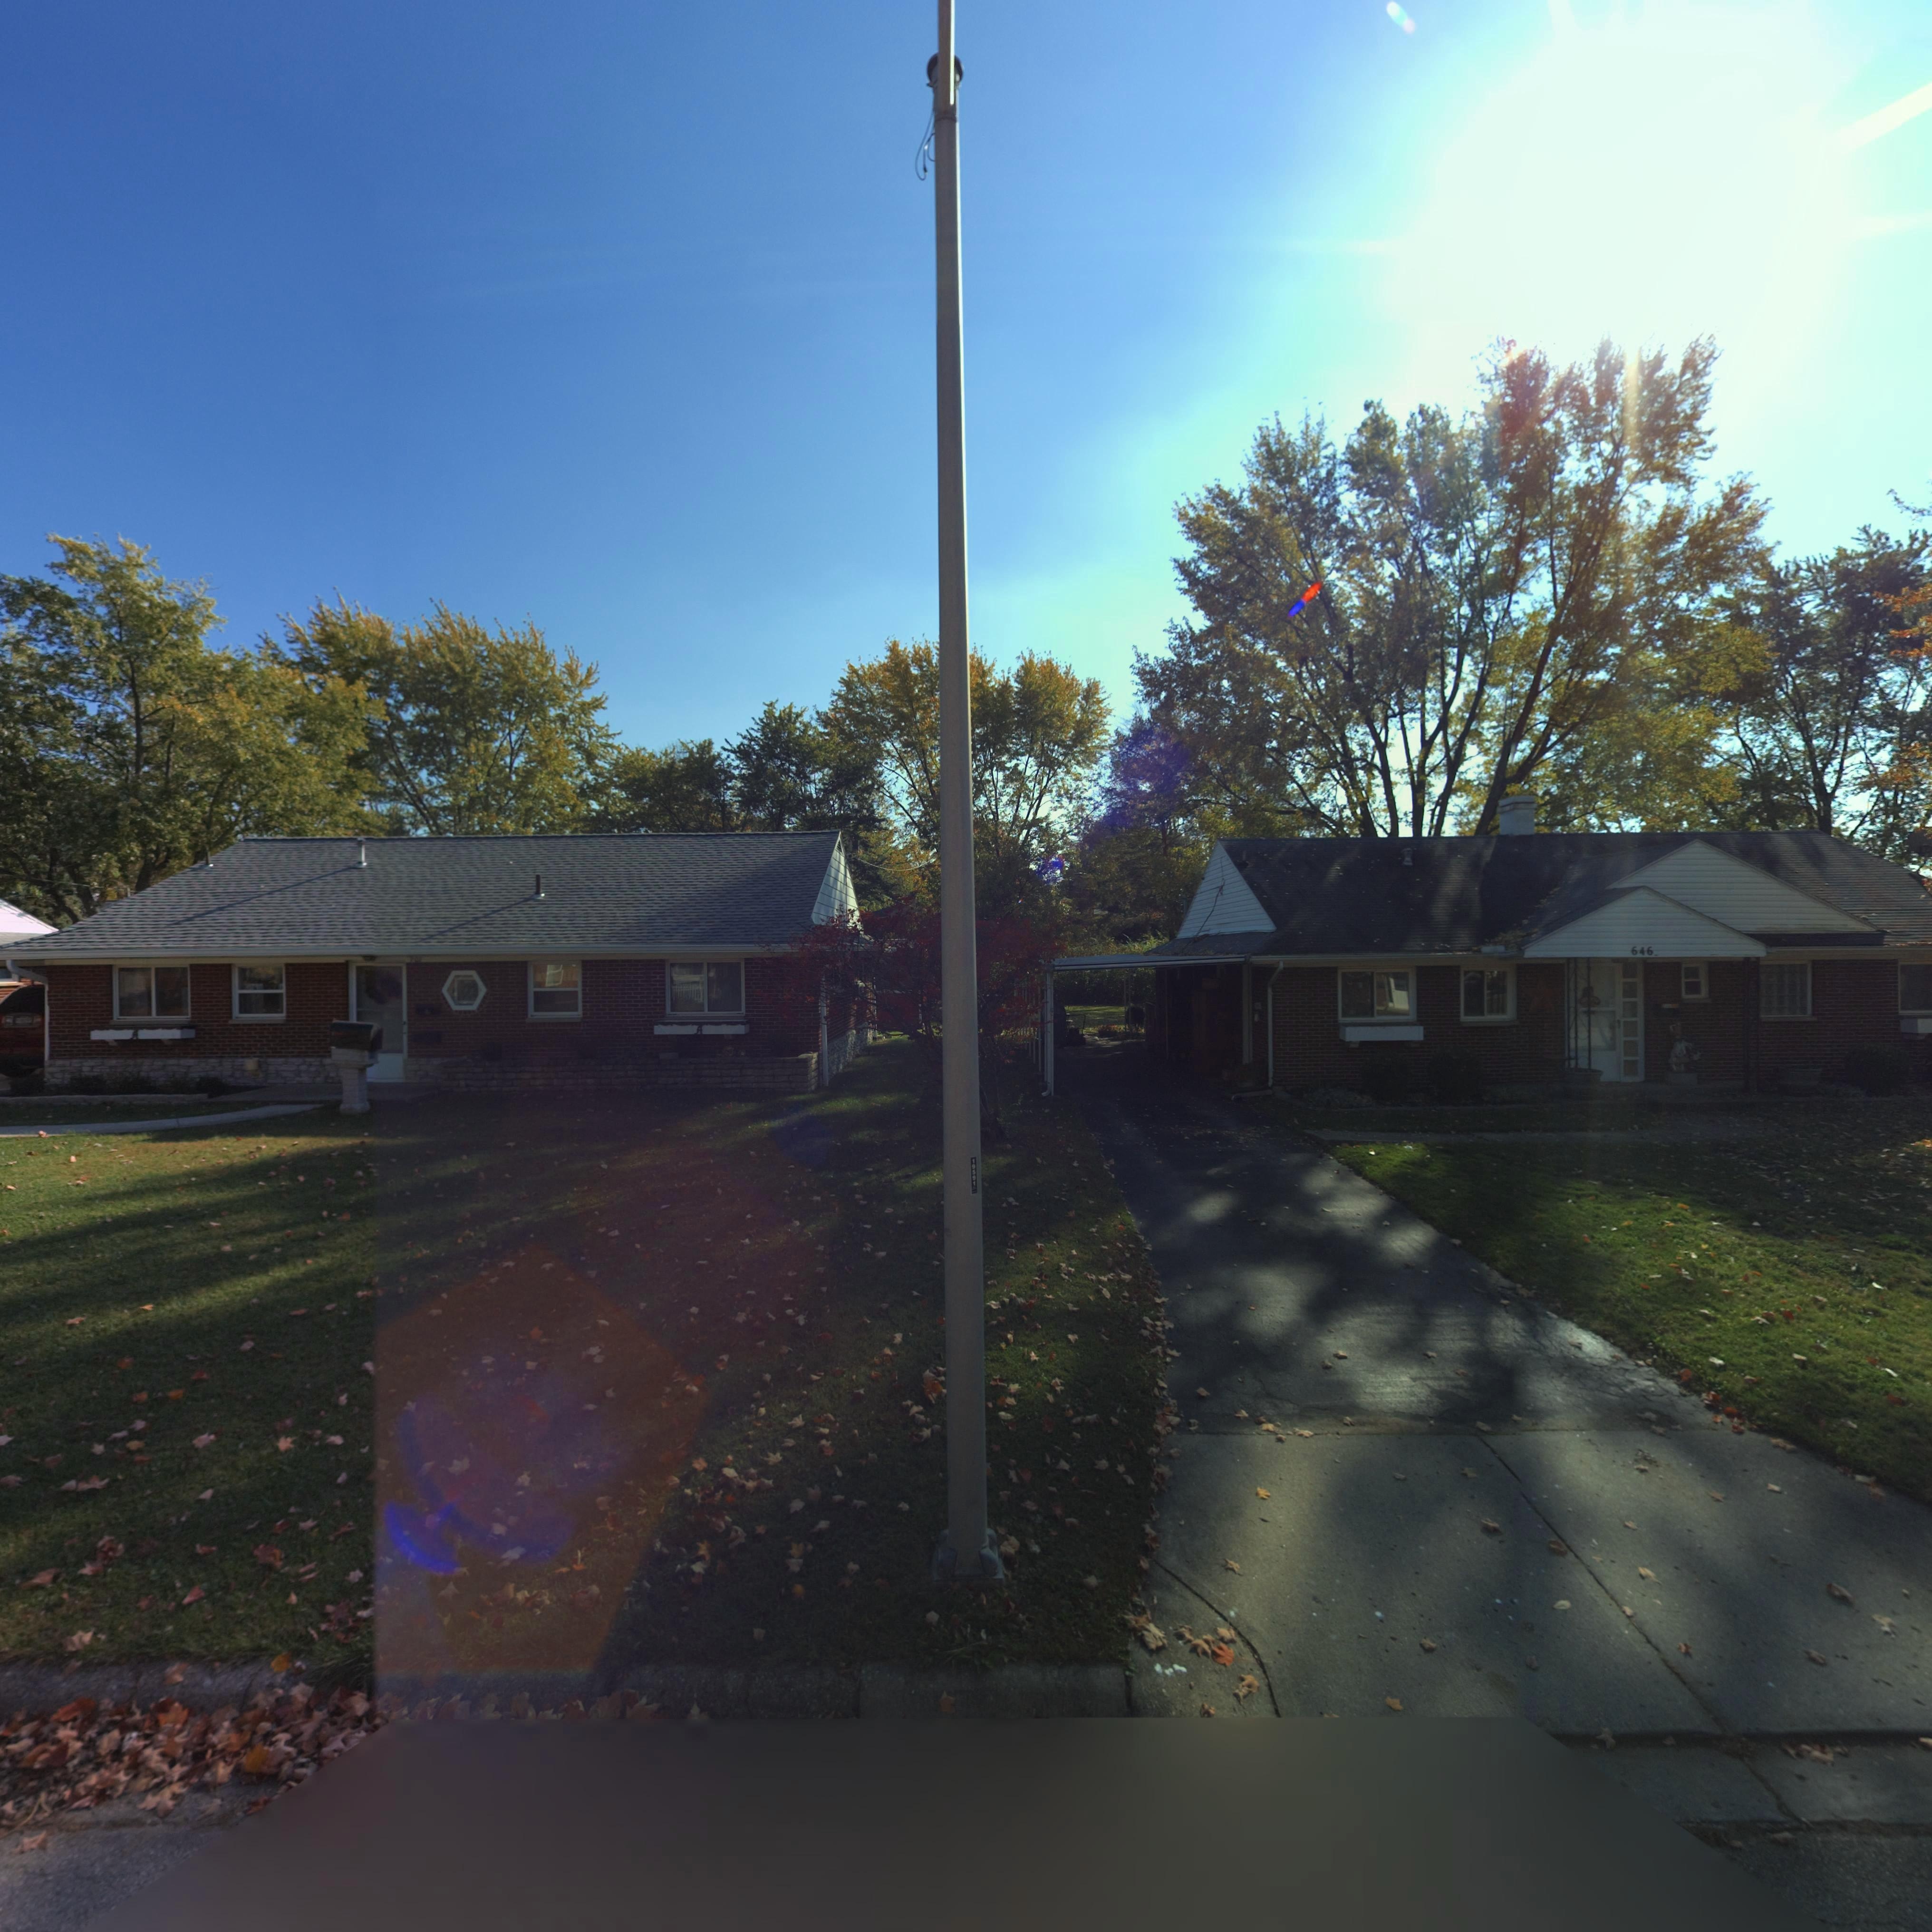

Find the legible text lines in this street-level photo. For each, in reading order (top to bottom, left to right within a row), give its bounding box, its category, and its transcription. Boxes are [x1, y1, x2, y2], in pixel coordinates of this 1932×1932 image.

[1630, 946, 1654, 956] StreetNumber: 646
[971, 1158, 977, 1187] None: 19591